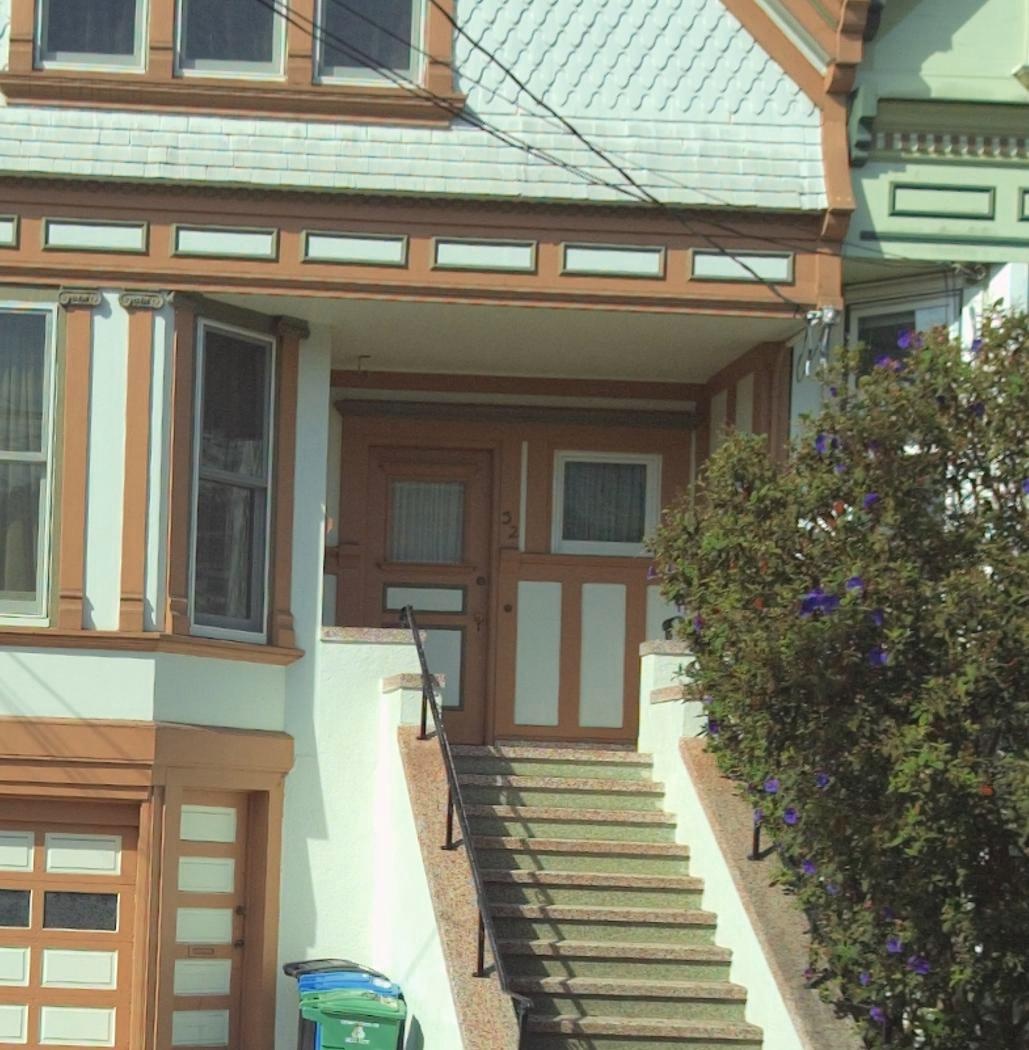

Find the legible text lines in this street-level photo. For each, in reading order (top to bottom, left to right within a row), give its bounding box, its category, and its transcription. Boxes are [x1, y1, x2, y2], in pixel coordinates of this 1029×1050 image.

[500, 508, 520, 539] StreetNumber: 32